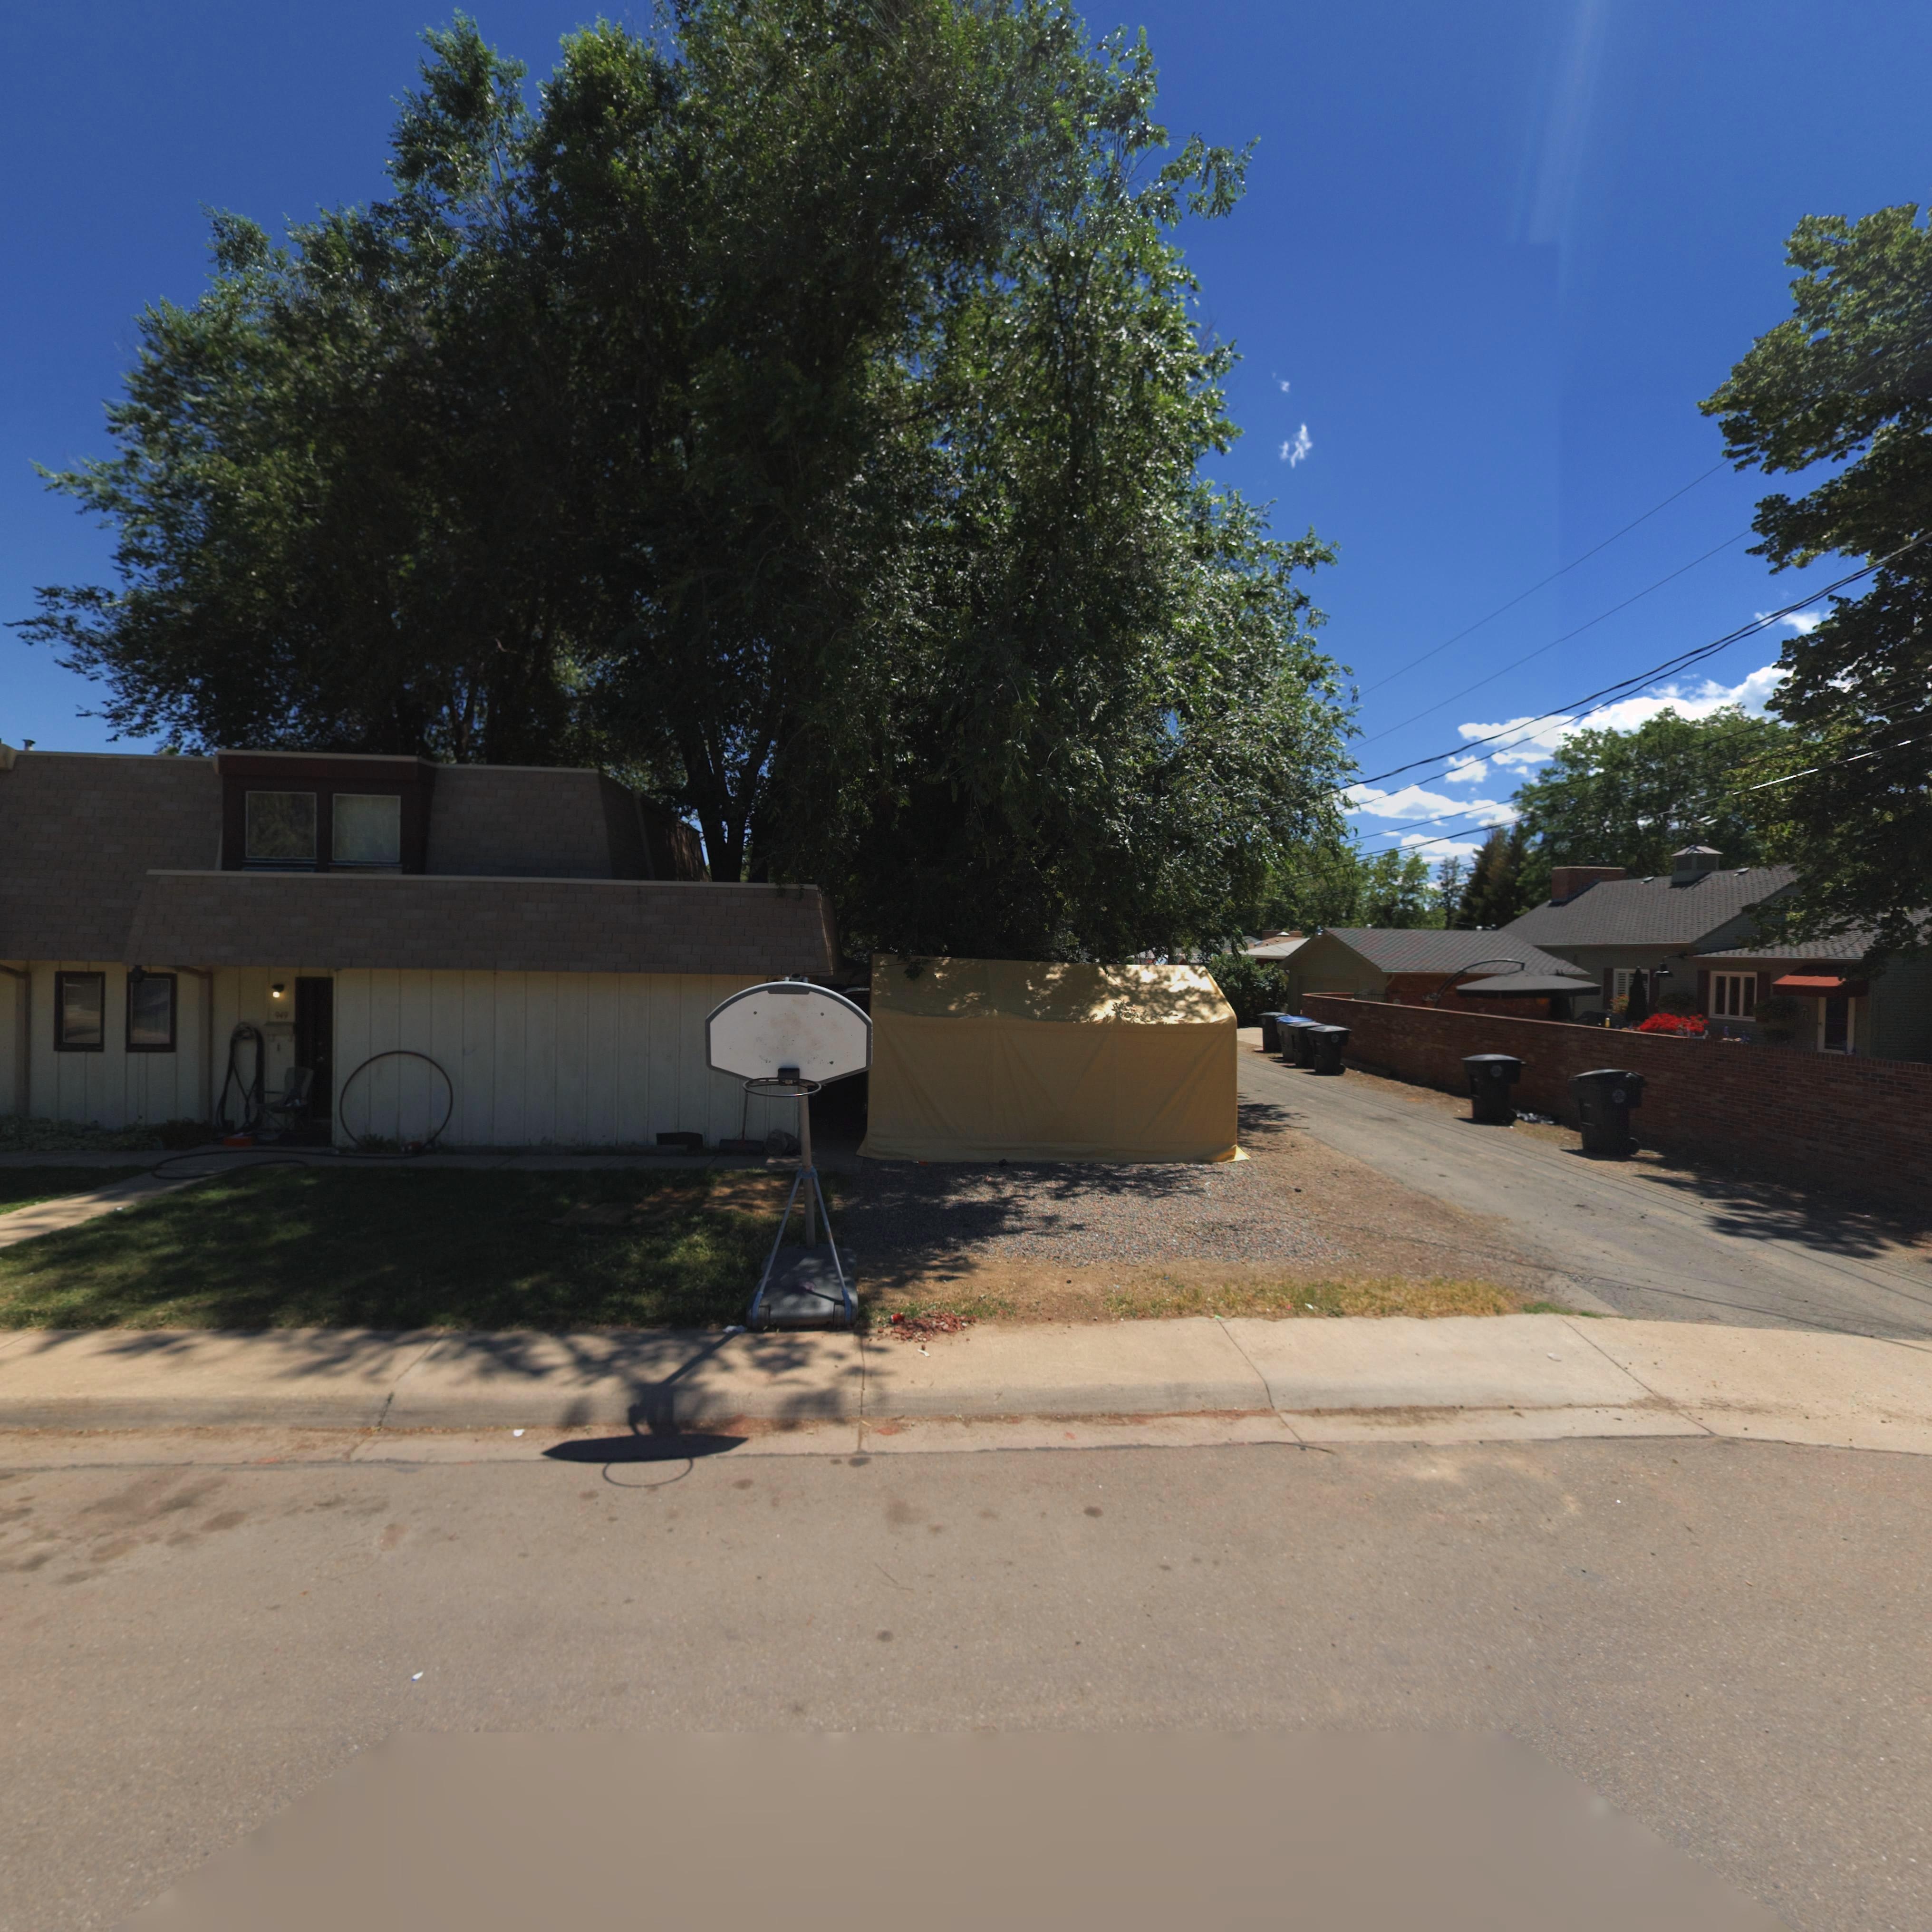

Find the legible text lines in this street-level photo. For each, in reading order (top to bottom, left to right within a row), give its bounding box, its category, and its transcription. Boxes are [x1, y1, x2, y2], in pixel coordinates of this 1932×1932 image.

[274, 1011, 288, 1020] None: 949